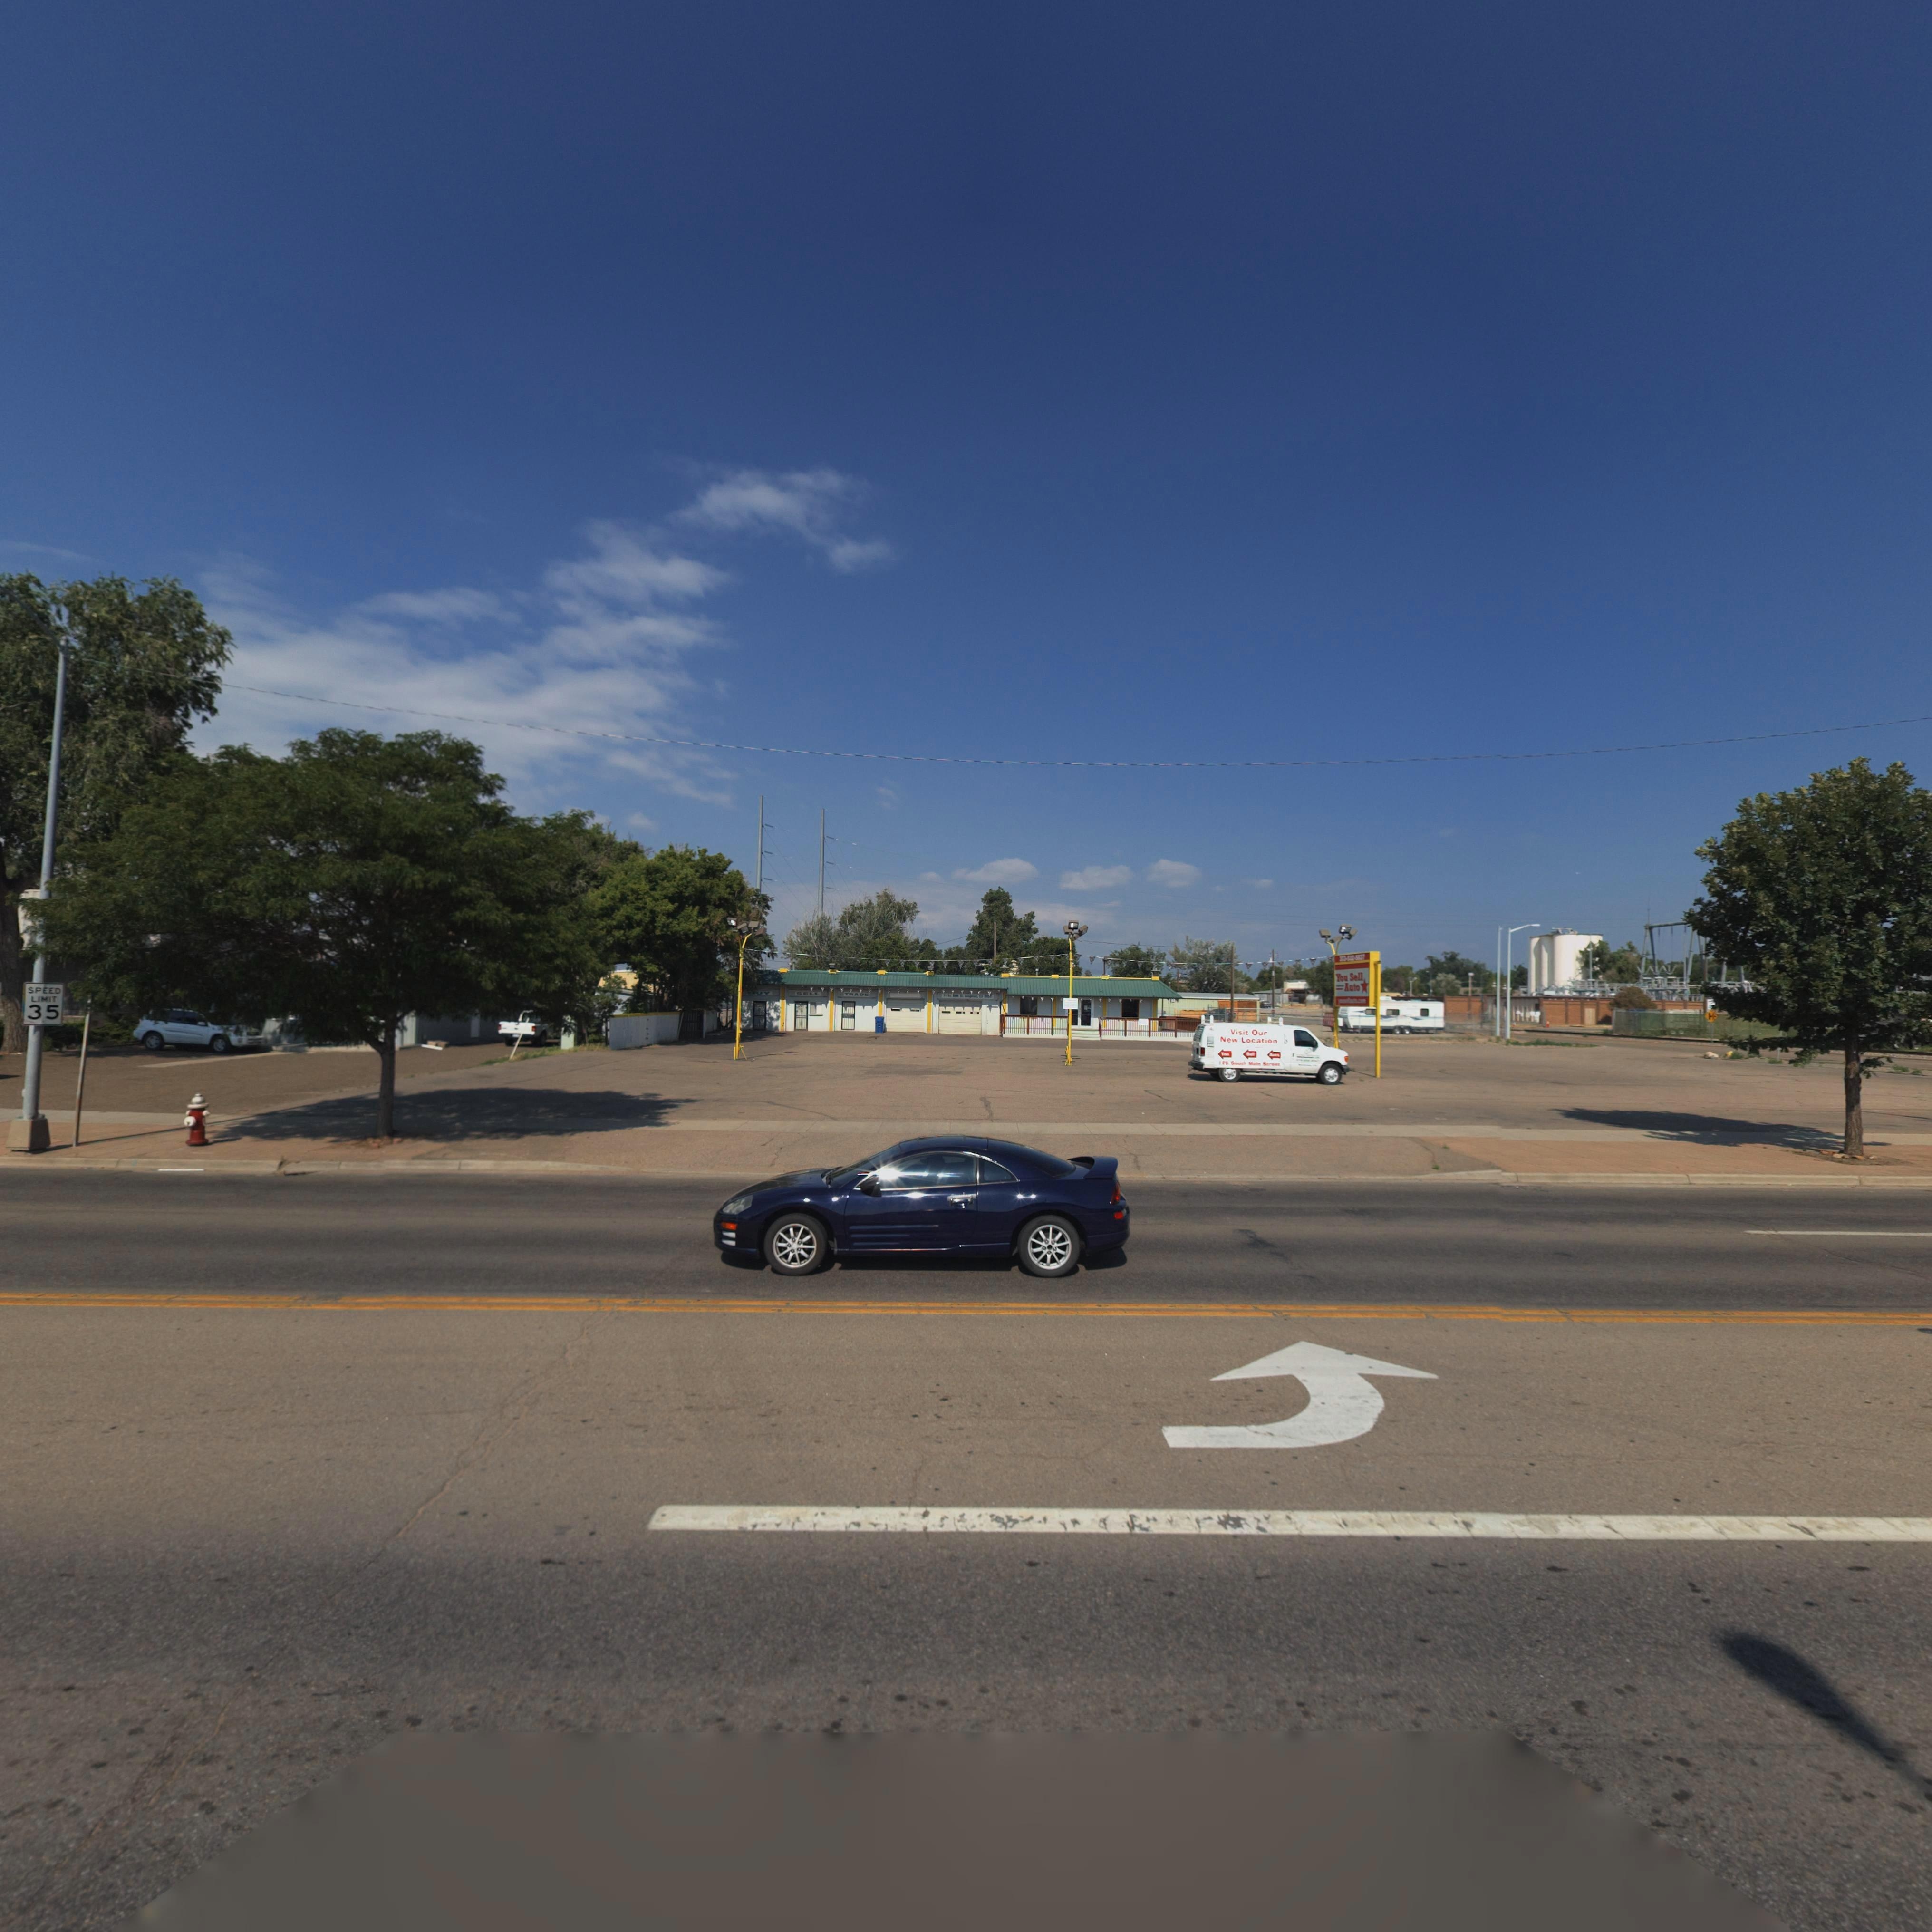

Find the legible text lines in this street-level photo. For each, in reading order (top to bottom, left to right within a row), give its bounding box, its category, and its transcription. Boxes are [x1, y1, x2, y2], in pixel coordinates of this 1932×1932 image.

[1335, 972, 1363, 982] BusinessName: You Sell
[1343, 983, 1360, 991] BusinessName: Auto
[943, 994, 946, 997] StreetNumber: 21
[947, 994, 964, 997] StreetName: So. Main St